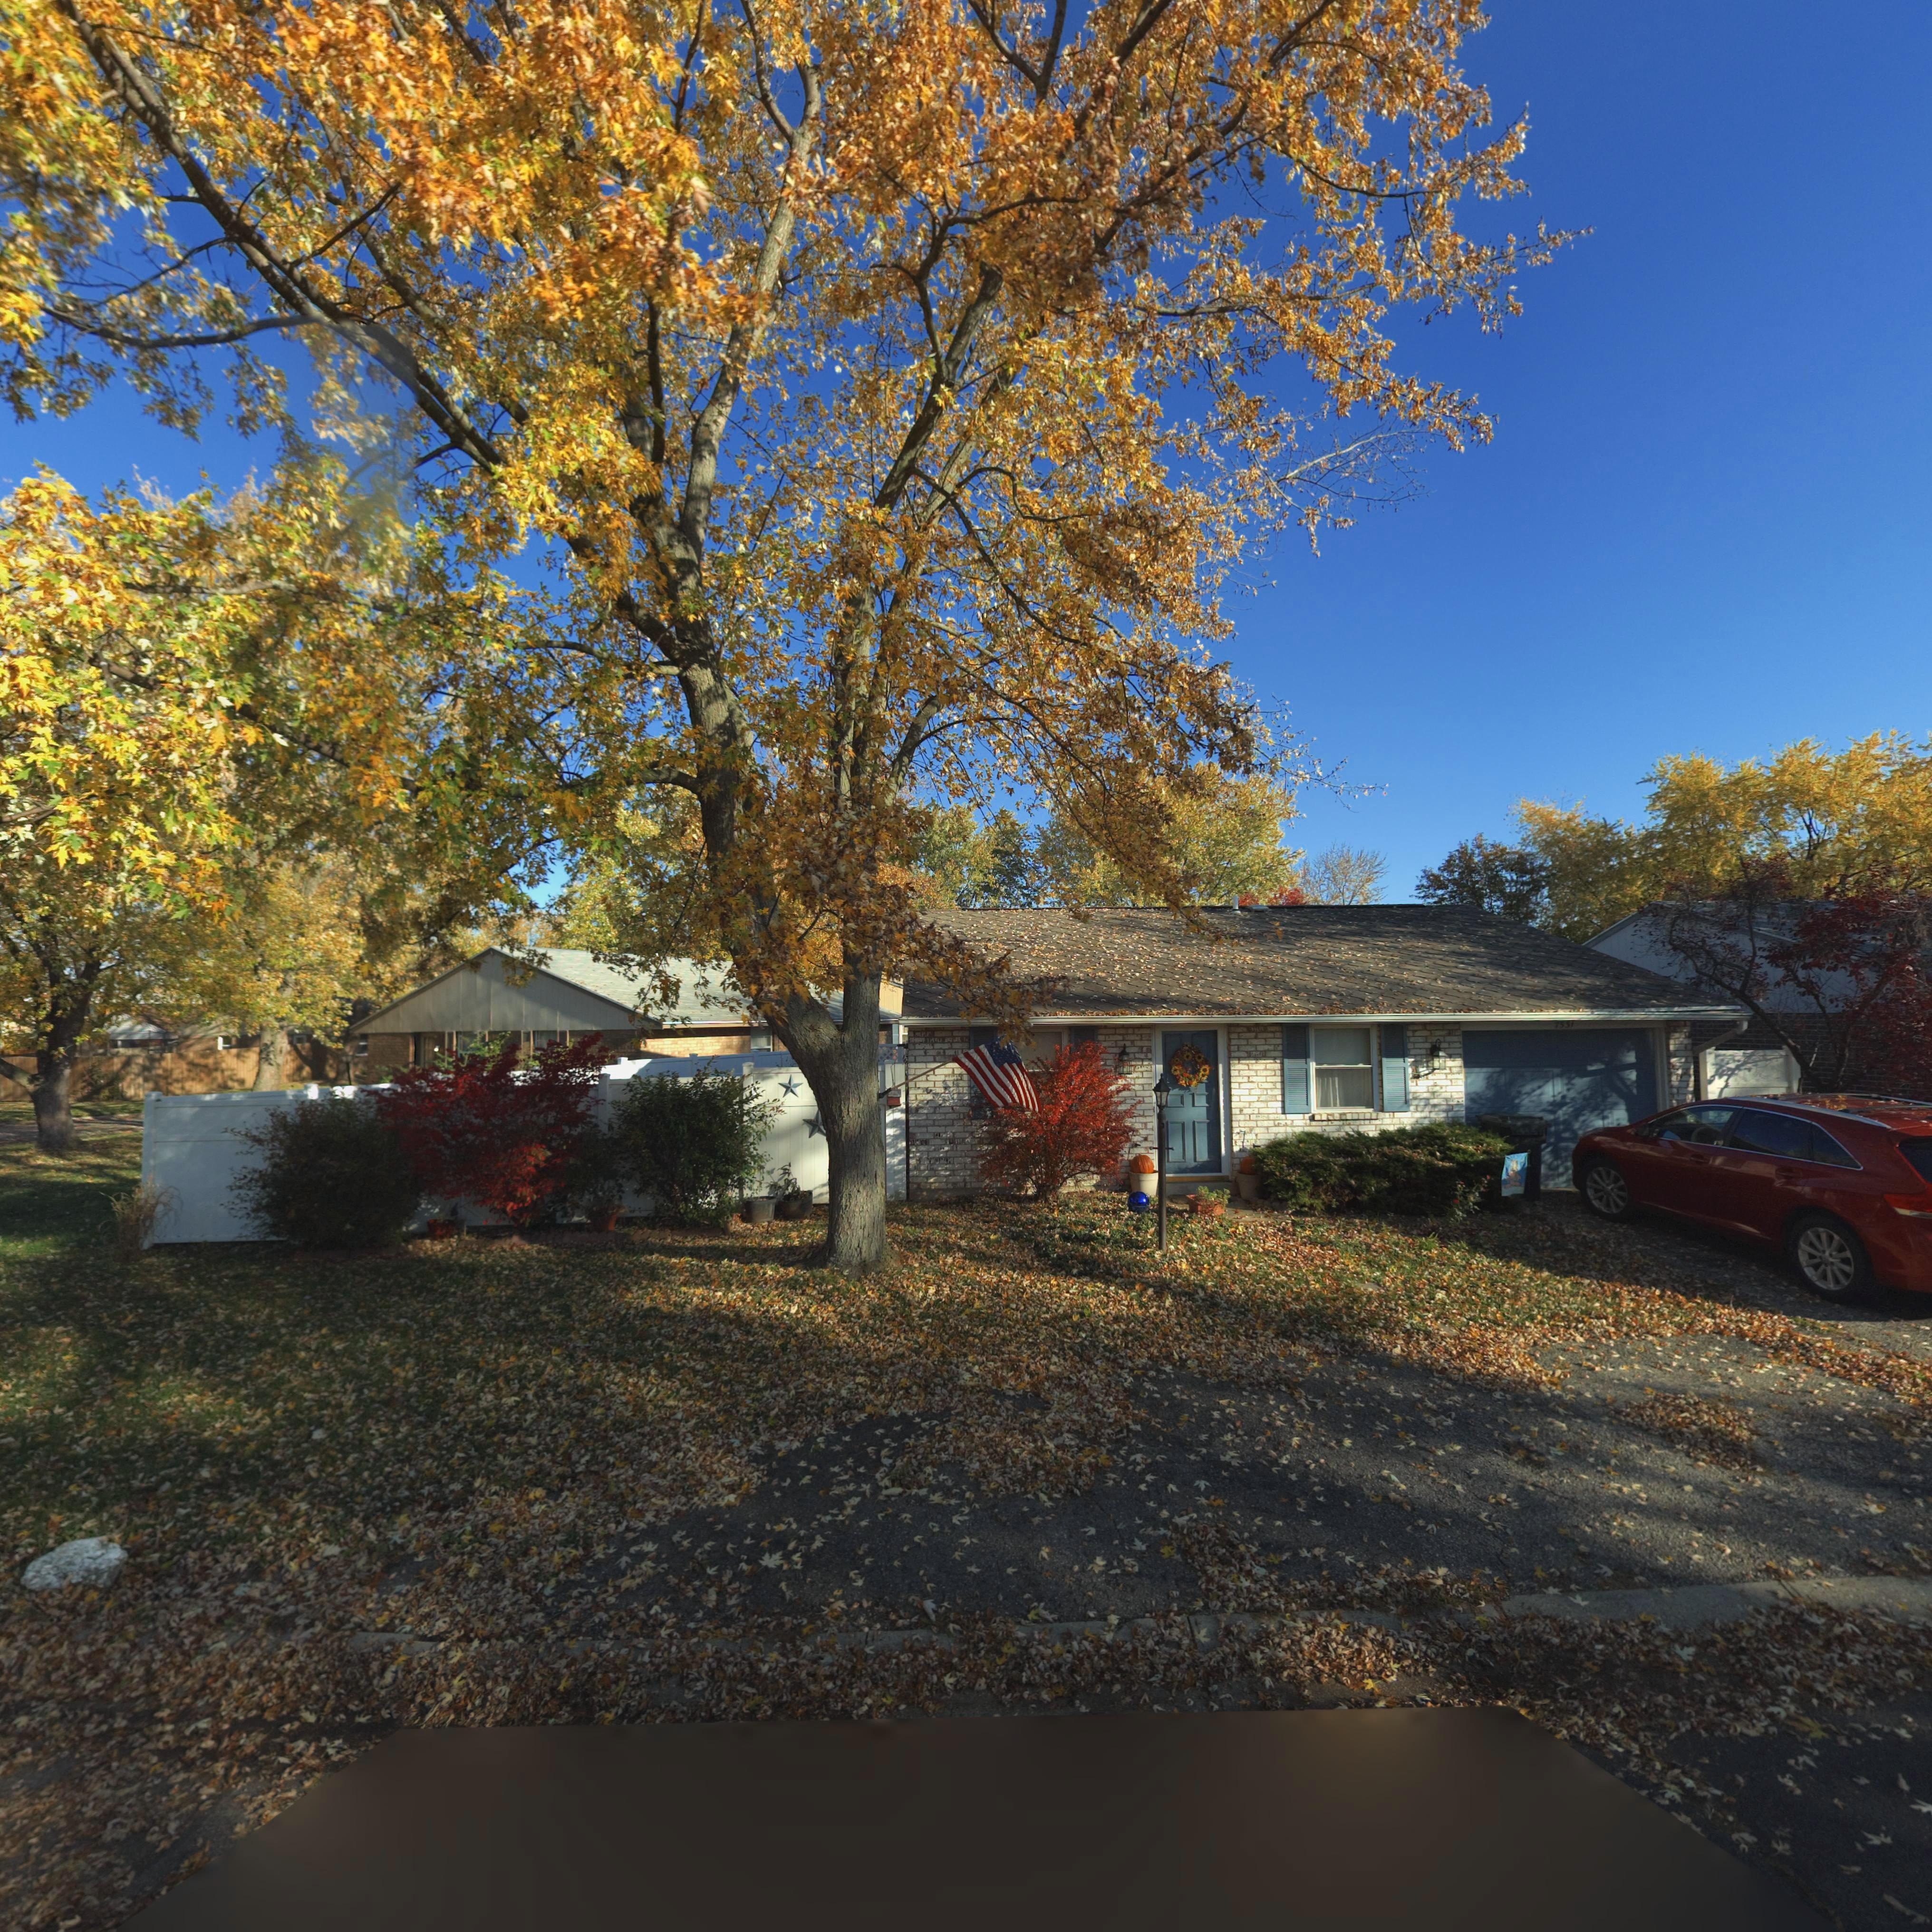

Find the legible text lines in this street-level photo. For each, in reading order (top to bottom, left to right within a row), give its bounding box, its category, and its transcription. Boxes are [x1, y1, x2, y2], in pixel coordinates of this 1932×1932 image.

[1553, 1020, 1576, 1029] StreetNumber: 7531